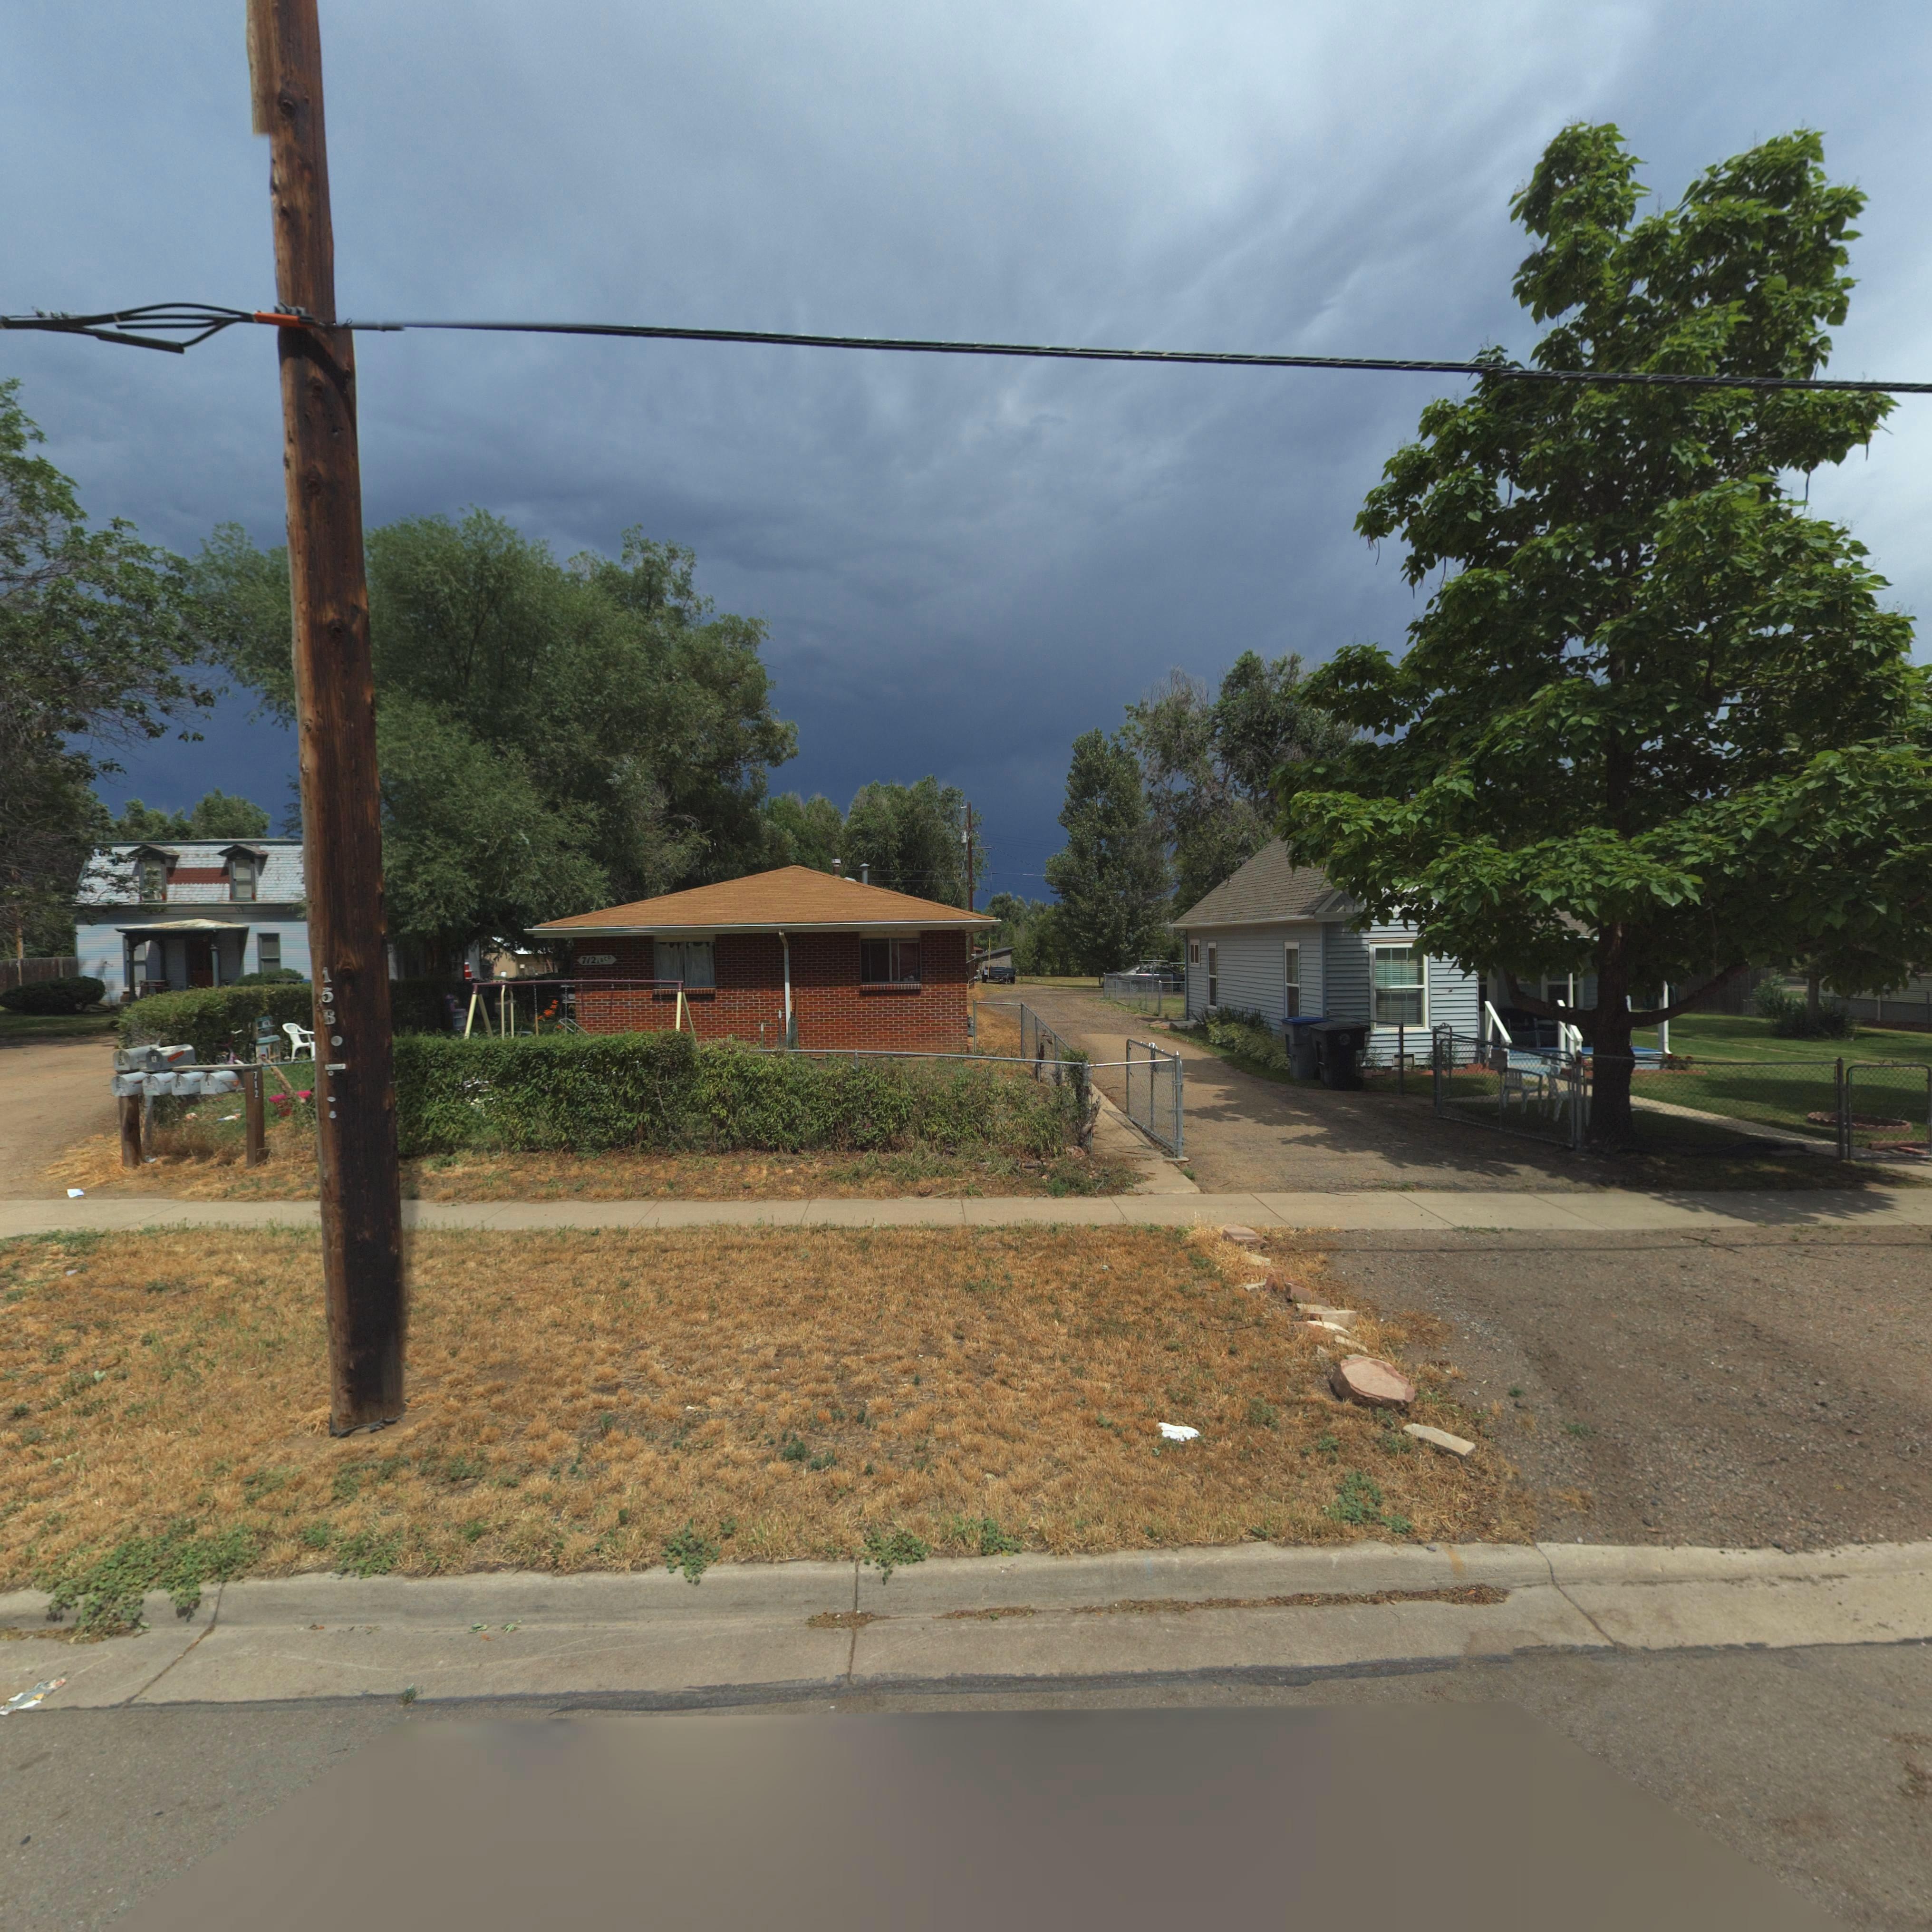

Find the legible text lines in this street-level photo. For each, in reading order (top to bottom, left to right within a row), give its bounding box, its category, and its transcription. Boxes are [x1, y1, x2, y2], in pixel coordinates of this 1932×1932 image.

[581, 956, 596, 964] StreetNumber: 712
[319, 965, 337, 1027] StreetNumber: 13B
[253, 1071, 259, 1098] StreetNumber: 712